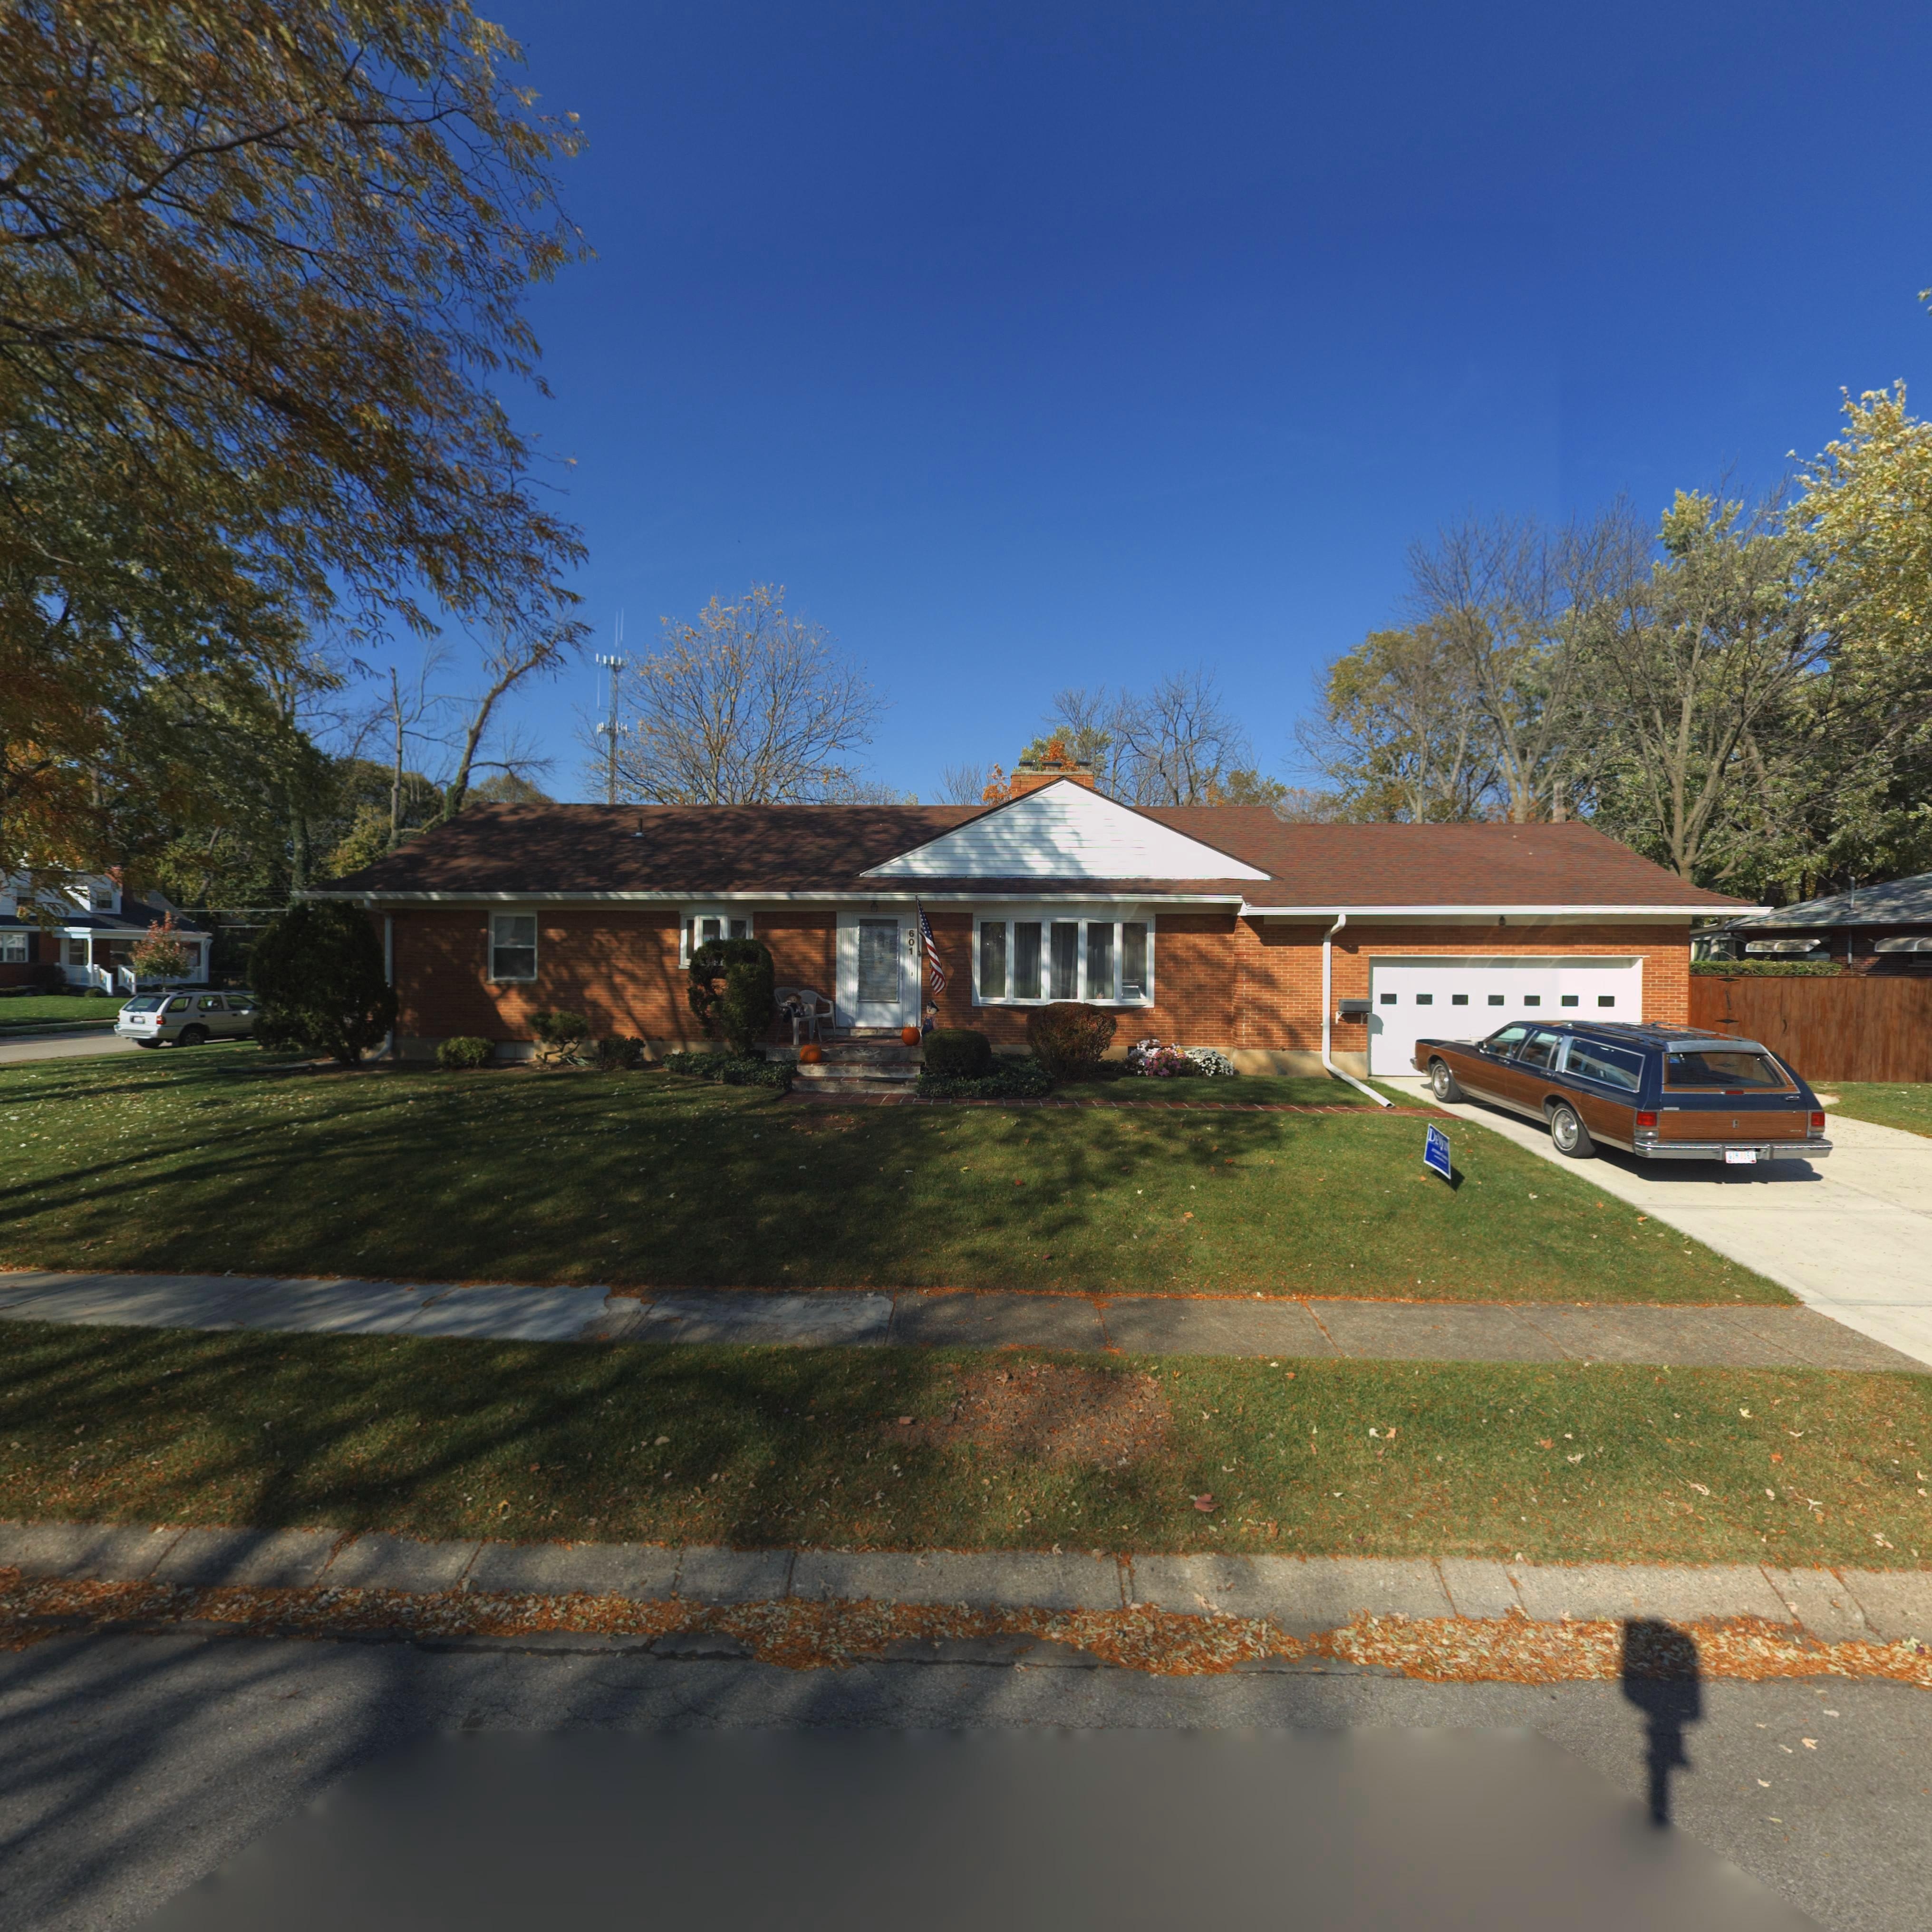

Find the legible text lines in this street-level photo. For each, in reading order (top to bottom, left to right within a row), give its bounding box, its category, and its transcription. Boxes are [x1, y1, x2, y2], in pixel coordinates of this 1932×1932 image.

[908, 929, 914, 955] StreetNumber: 601
[1428, 1128, 1439, 1146] None: DE
[1728, 1151, 1755, 1160] None: G*H***1